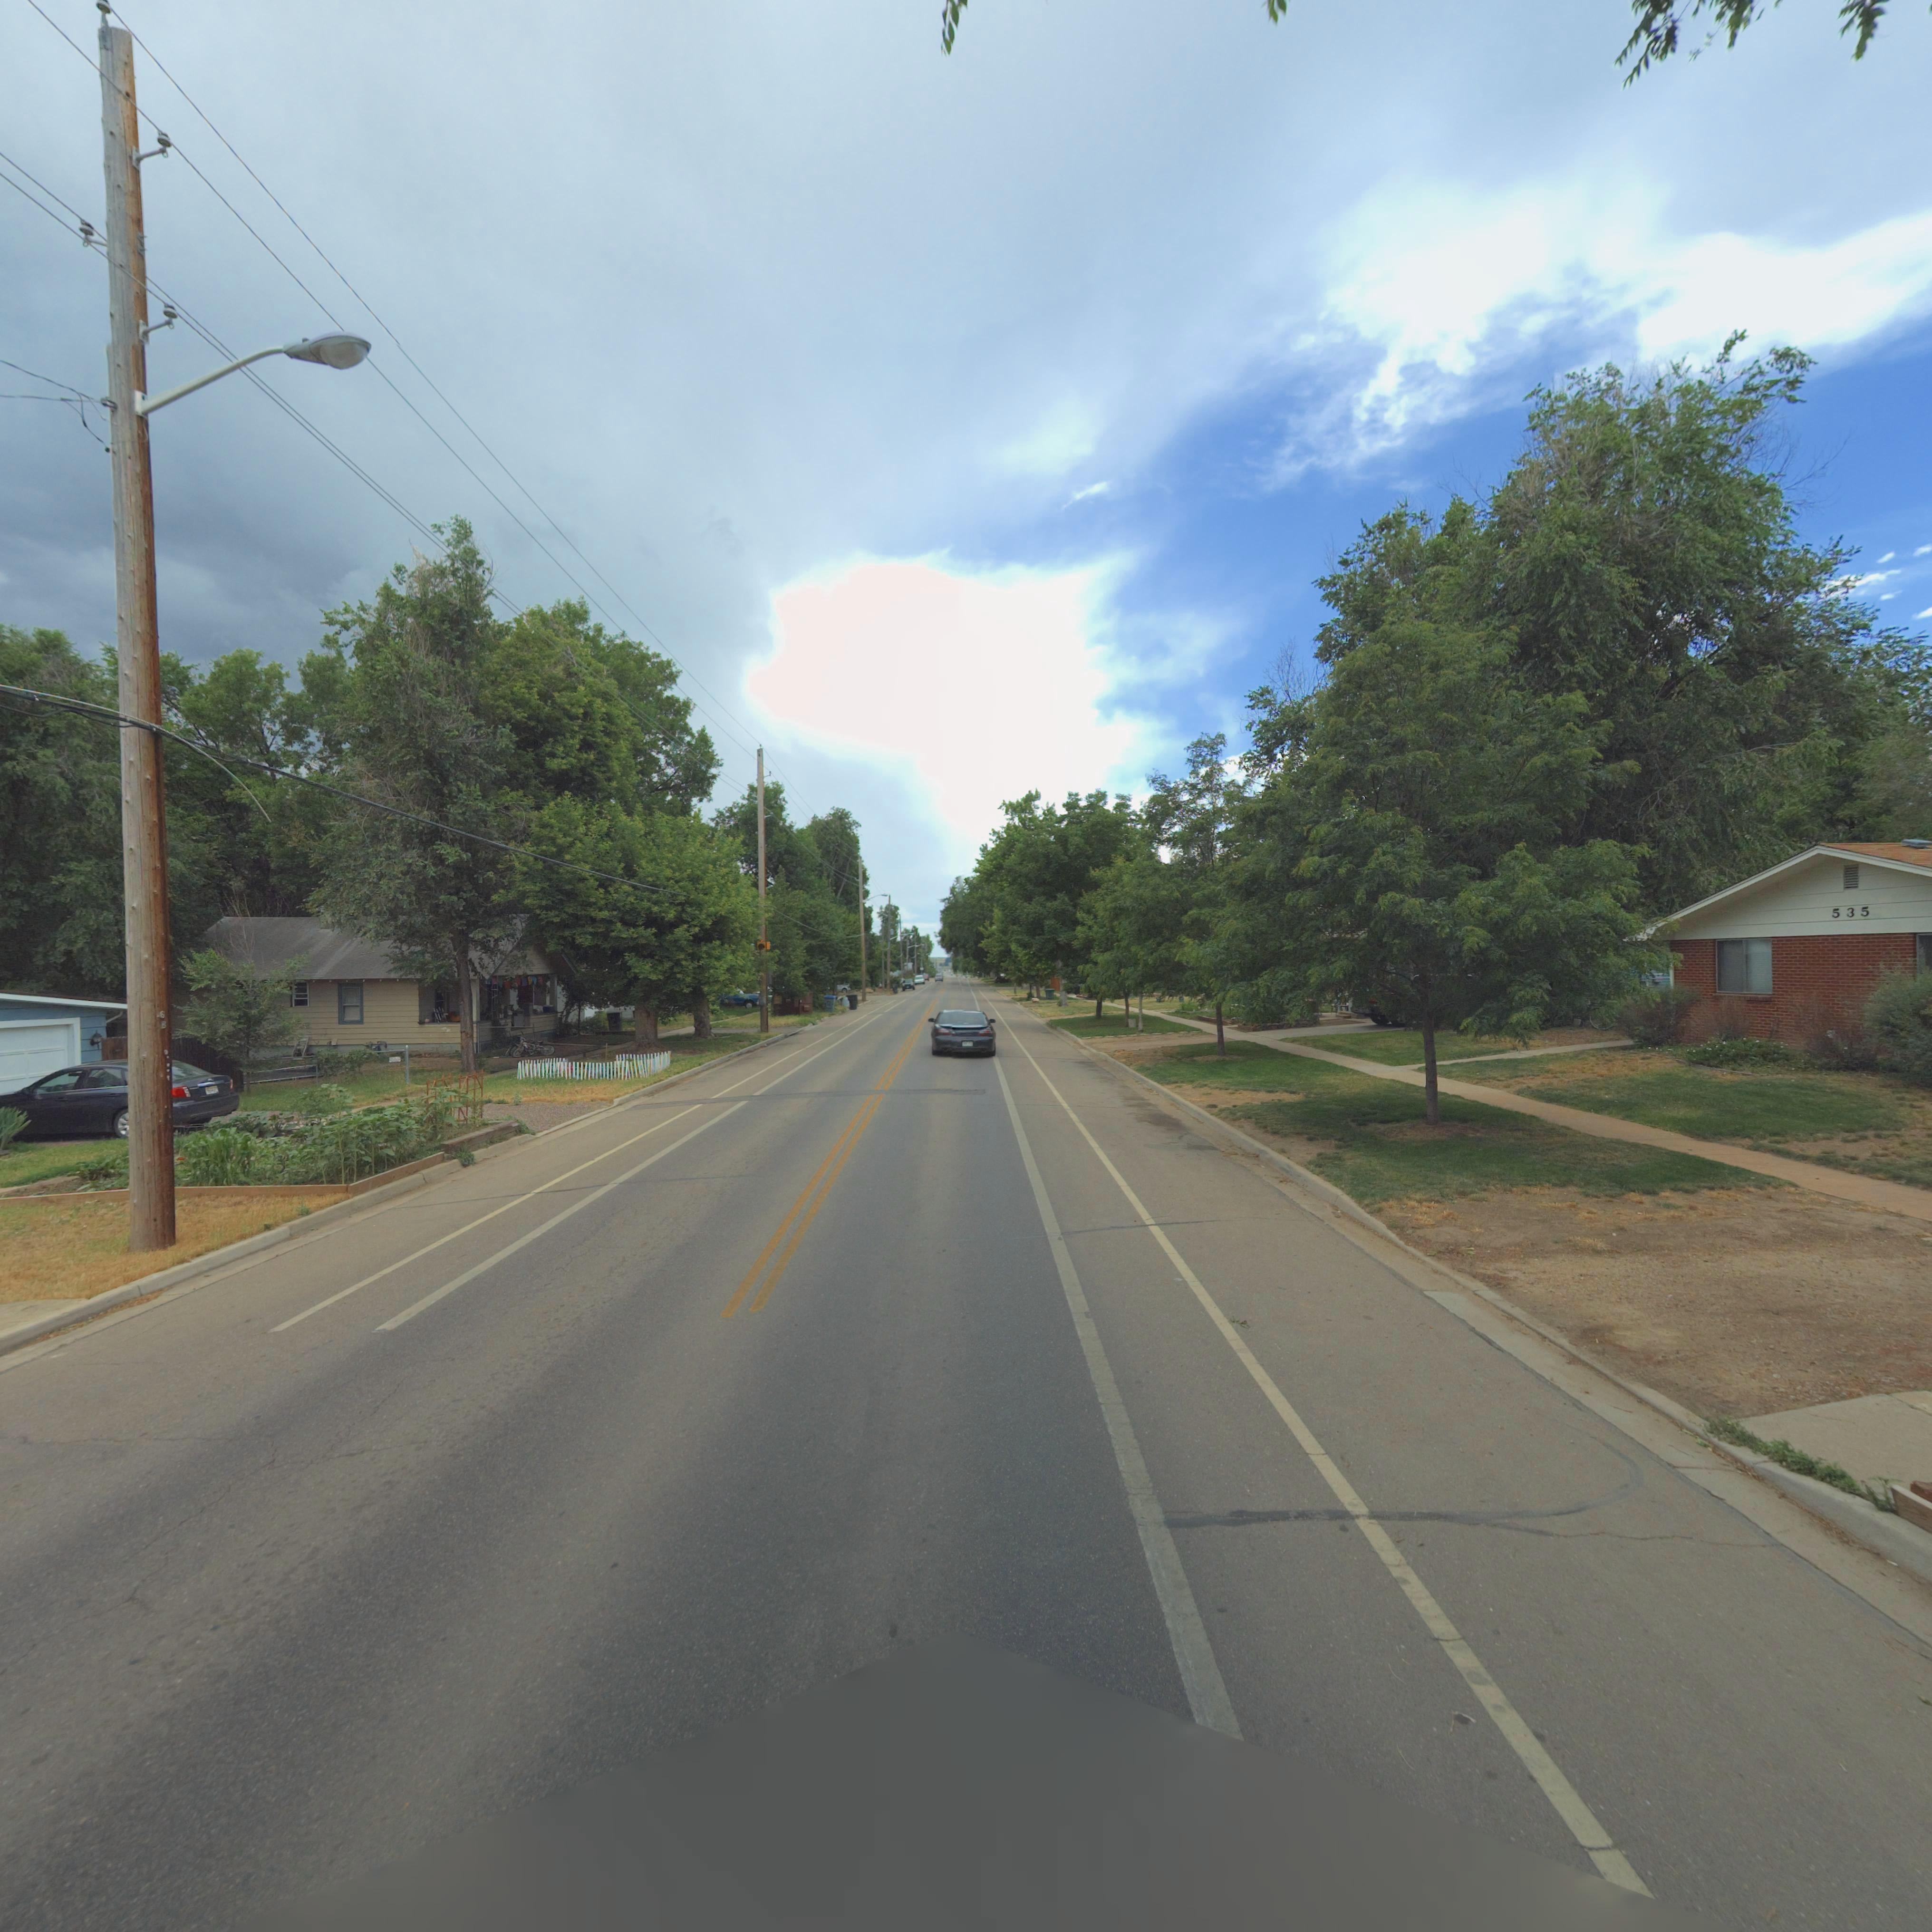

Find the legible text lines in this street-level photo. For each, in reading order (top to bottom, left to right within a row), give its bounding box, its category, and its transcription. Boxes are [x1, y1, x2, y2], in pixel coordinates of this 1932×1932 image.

[1831, 906, 1870, 918] StreetNumber: 535